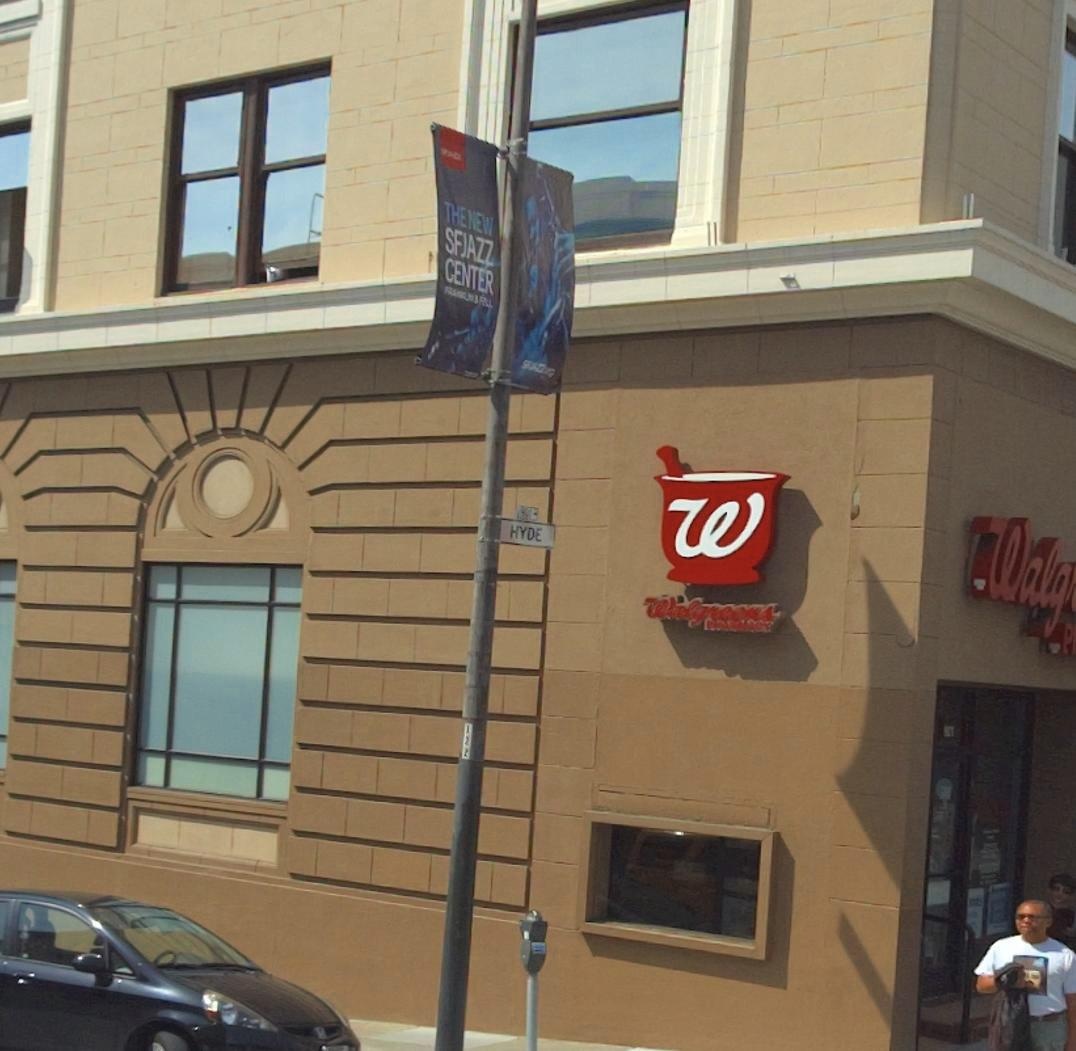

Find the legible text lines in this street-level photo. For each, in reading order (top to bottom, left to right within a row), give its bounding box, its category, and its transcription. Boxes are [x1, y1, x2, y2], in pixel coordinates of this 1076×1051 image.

[440, 195, 499, 241] None: THE NEW
[441, 223, 500, 271] None: SF JAZZ
[442, 253, 497, 300] None: CENTER
[507, 521, 545, 545] StreetName: HYDE
[662, 487, 770, 563] None: W
[959, 503, 1075, 645] BusinessName: Walg
[637, 590, 787, 633] BusinessName: Walgreens